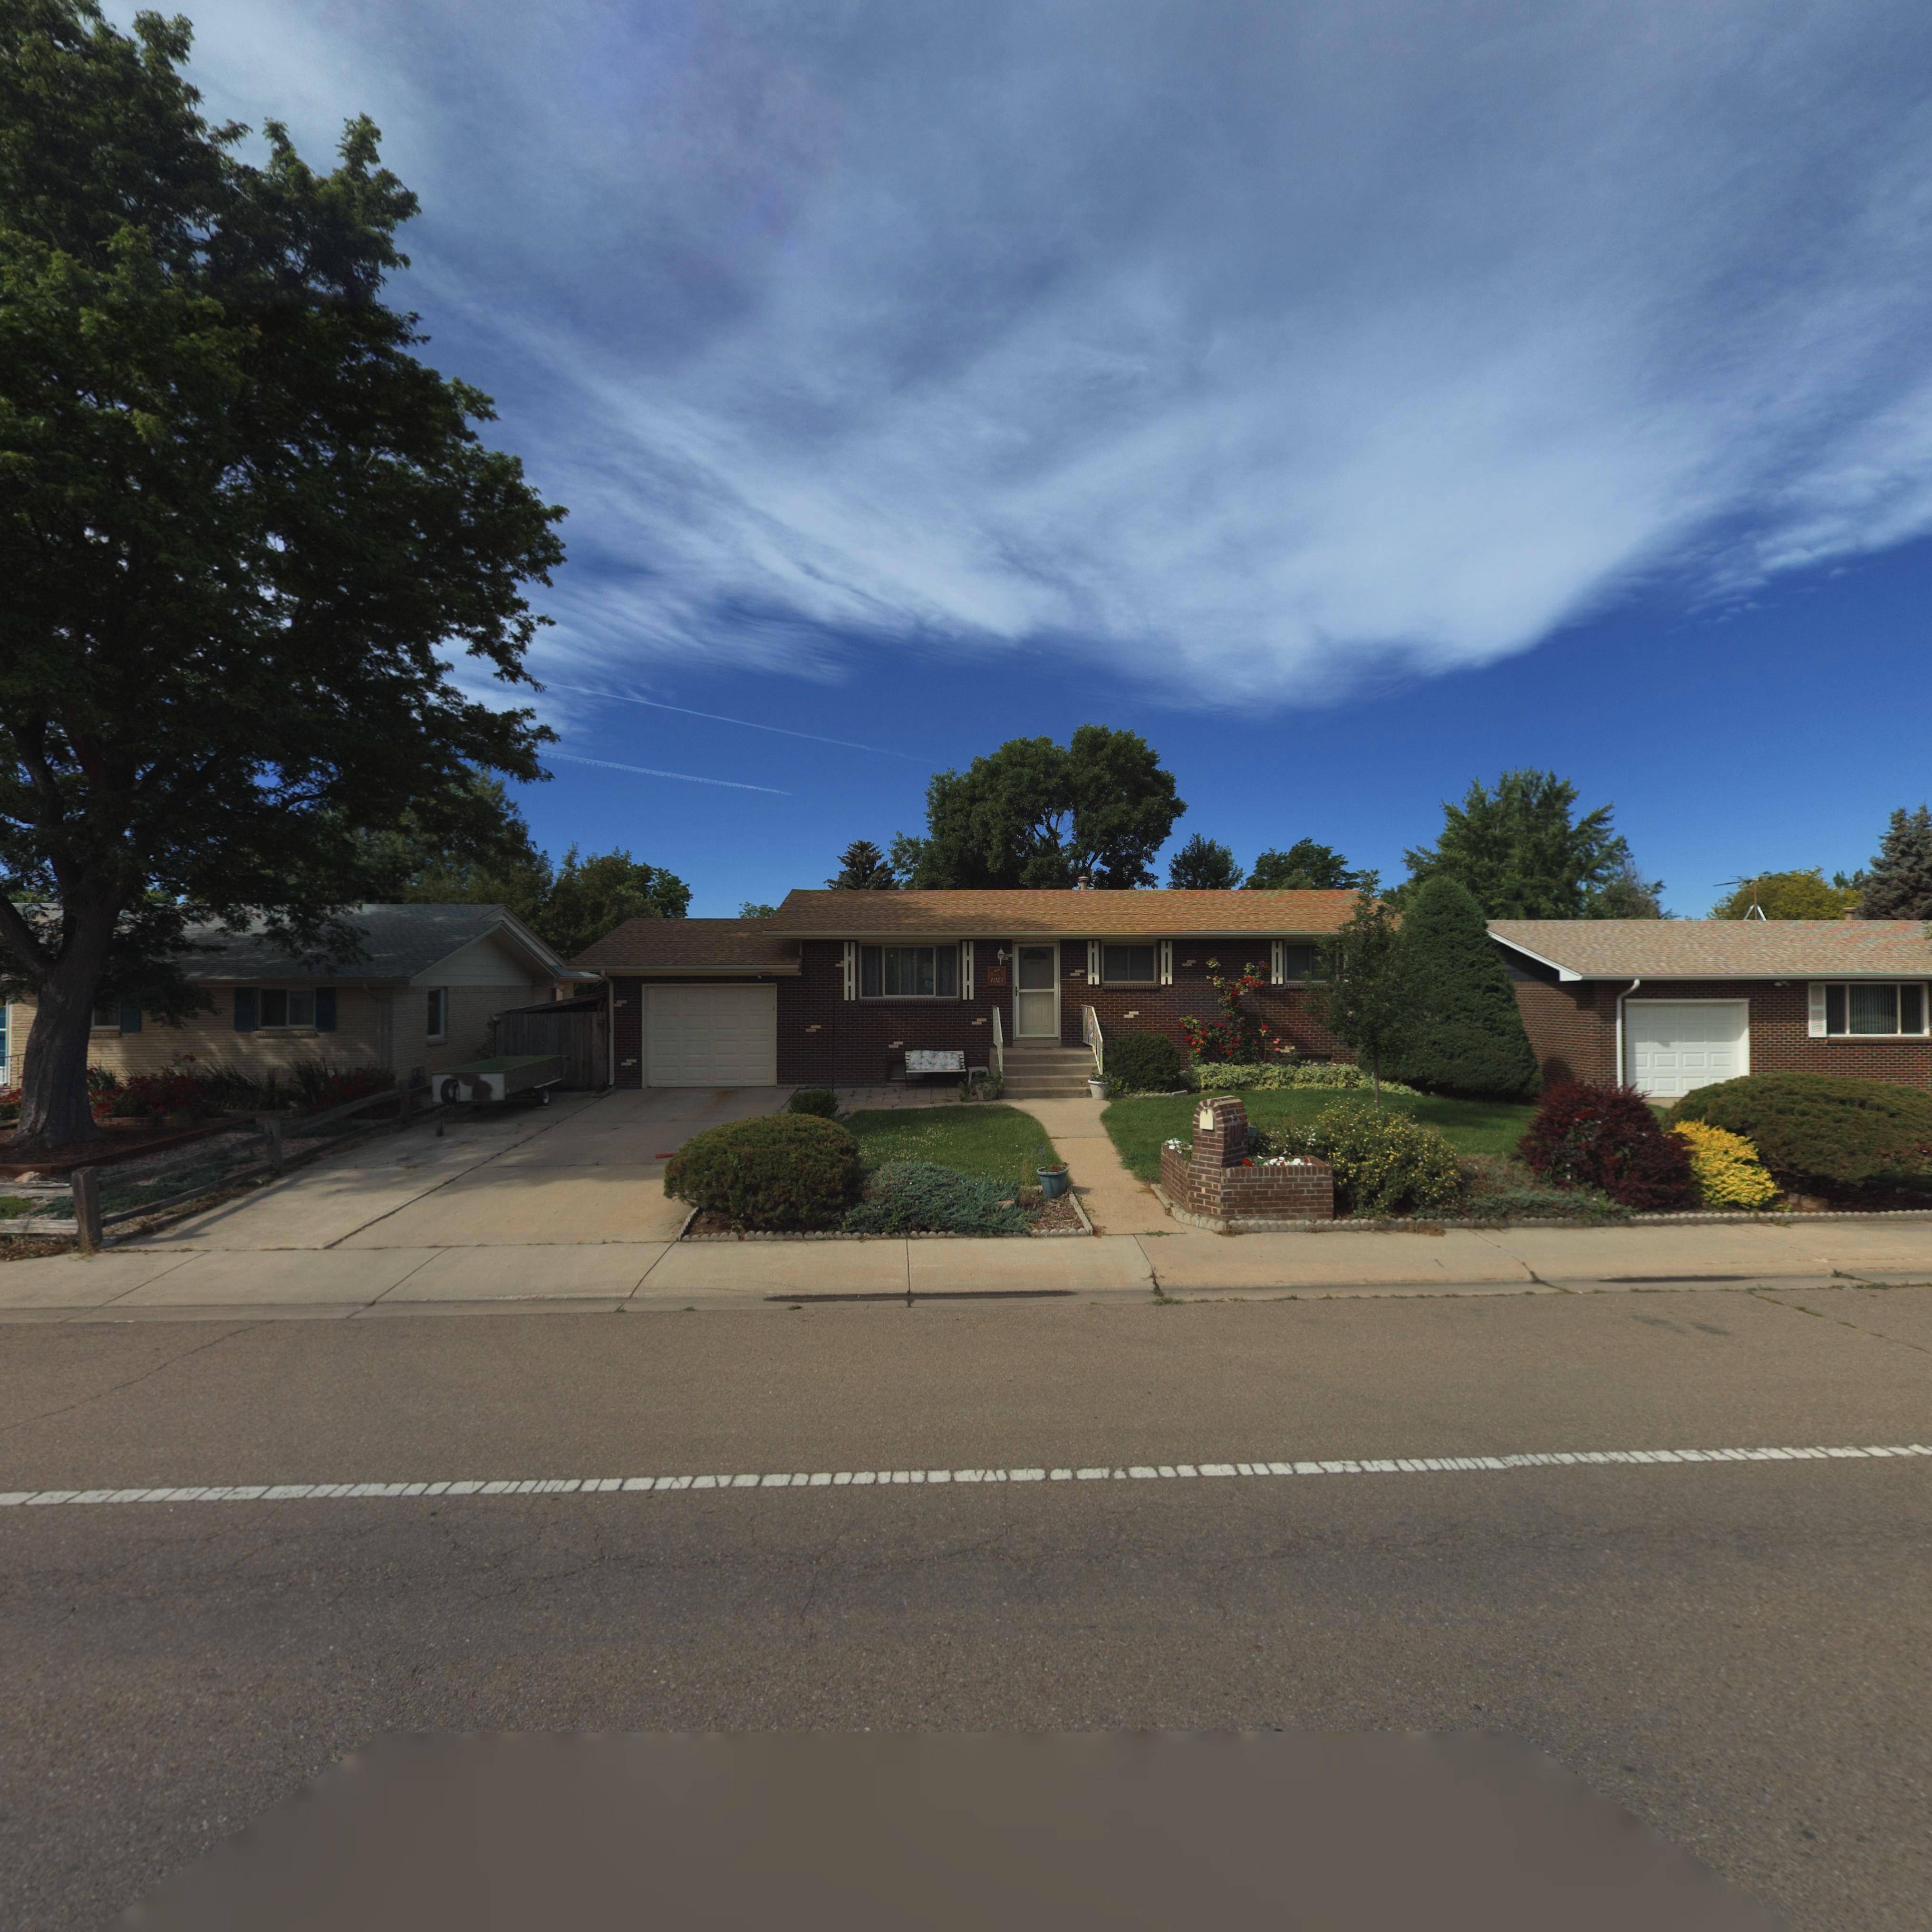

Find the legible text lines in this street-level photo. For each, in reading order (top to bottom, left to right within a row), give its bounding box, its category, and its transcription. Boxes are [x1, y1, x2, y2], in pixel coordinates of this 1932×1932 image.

[990, 977, 1004, 983] StreetNumber: 1021